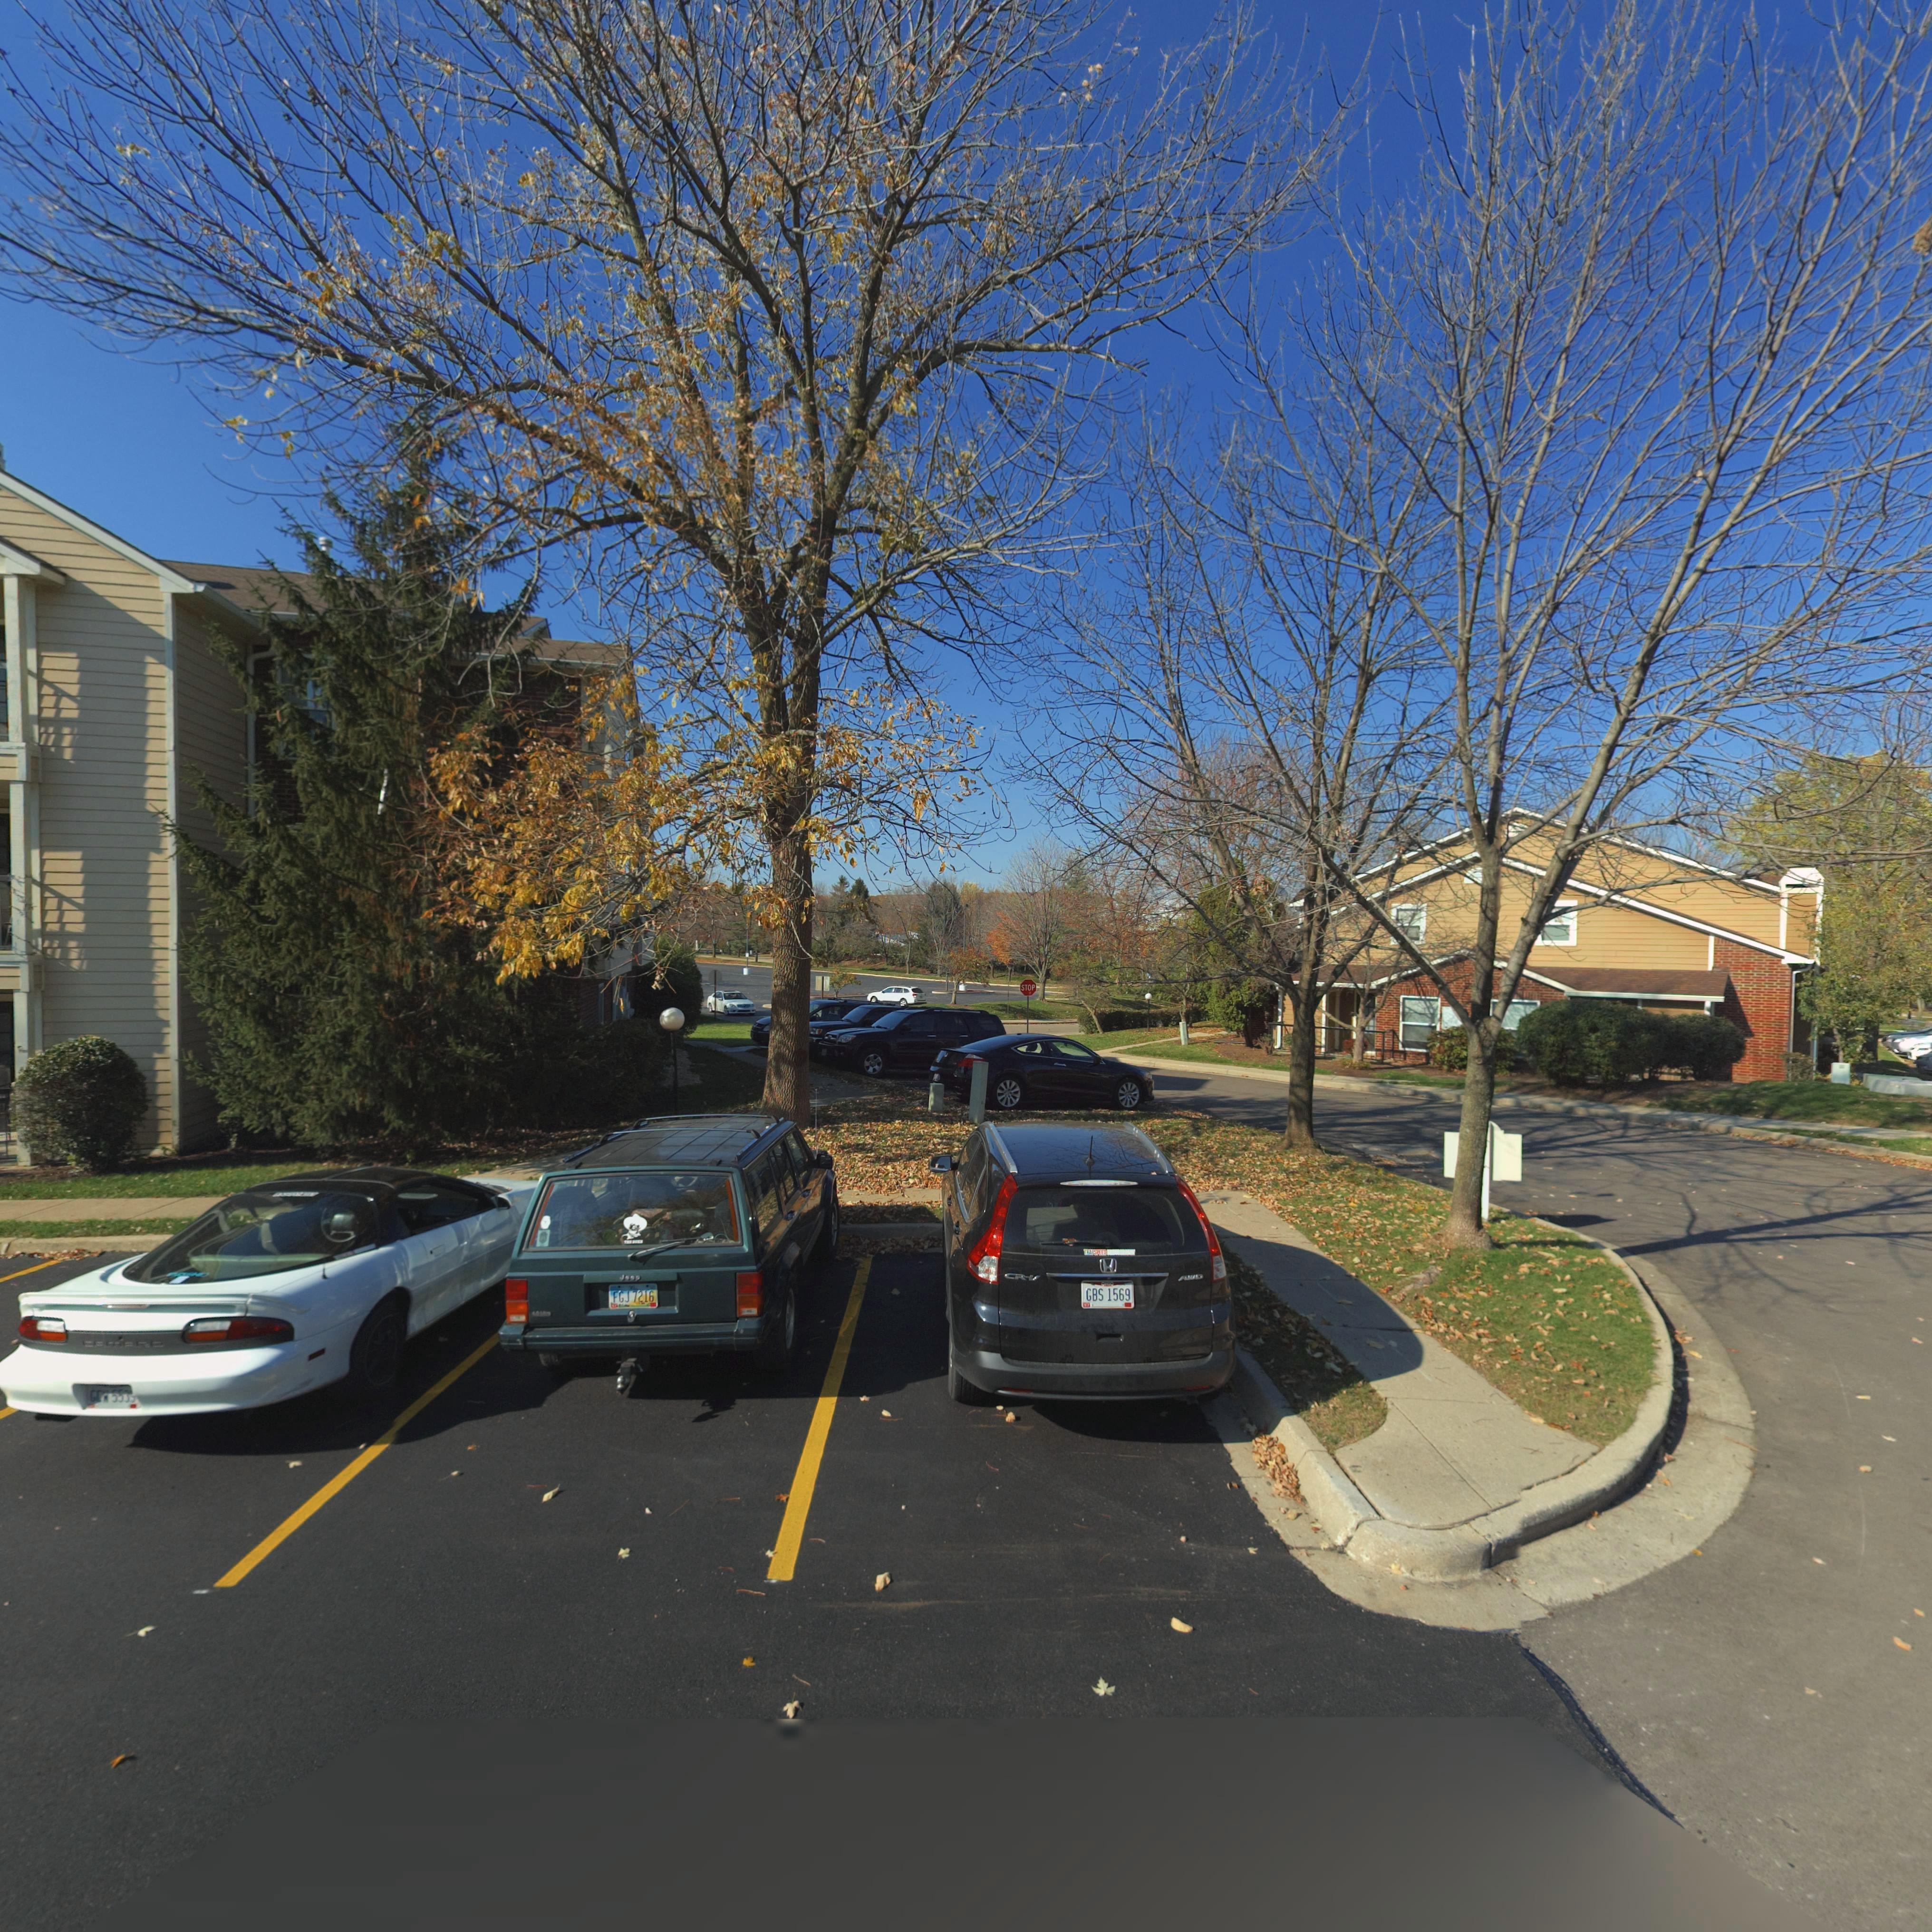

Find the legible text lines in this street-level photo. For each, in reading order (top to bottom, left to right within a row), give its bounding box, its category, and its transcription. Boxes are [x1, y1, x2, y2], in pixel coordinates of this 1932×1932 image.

[1021, 983, 1036, 992] None: STOP
[618, 1274, 642, 1282] None: J**p
[1004, 1273, 1042, 1283] None: CR-V
[612, 1288, 656, 1304] None: FGJ 7216
[1085, 1287, 1131, 1302] None: GBS 1569
[88, 1388, 137, 1404] None: GC* 553*